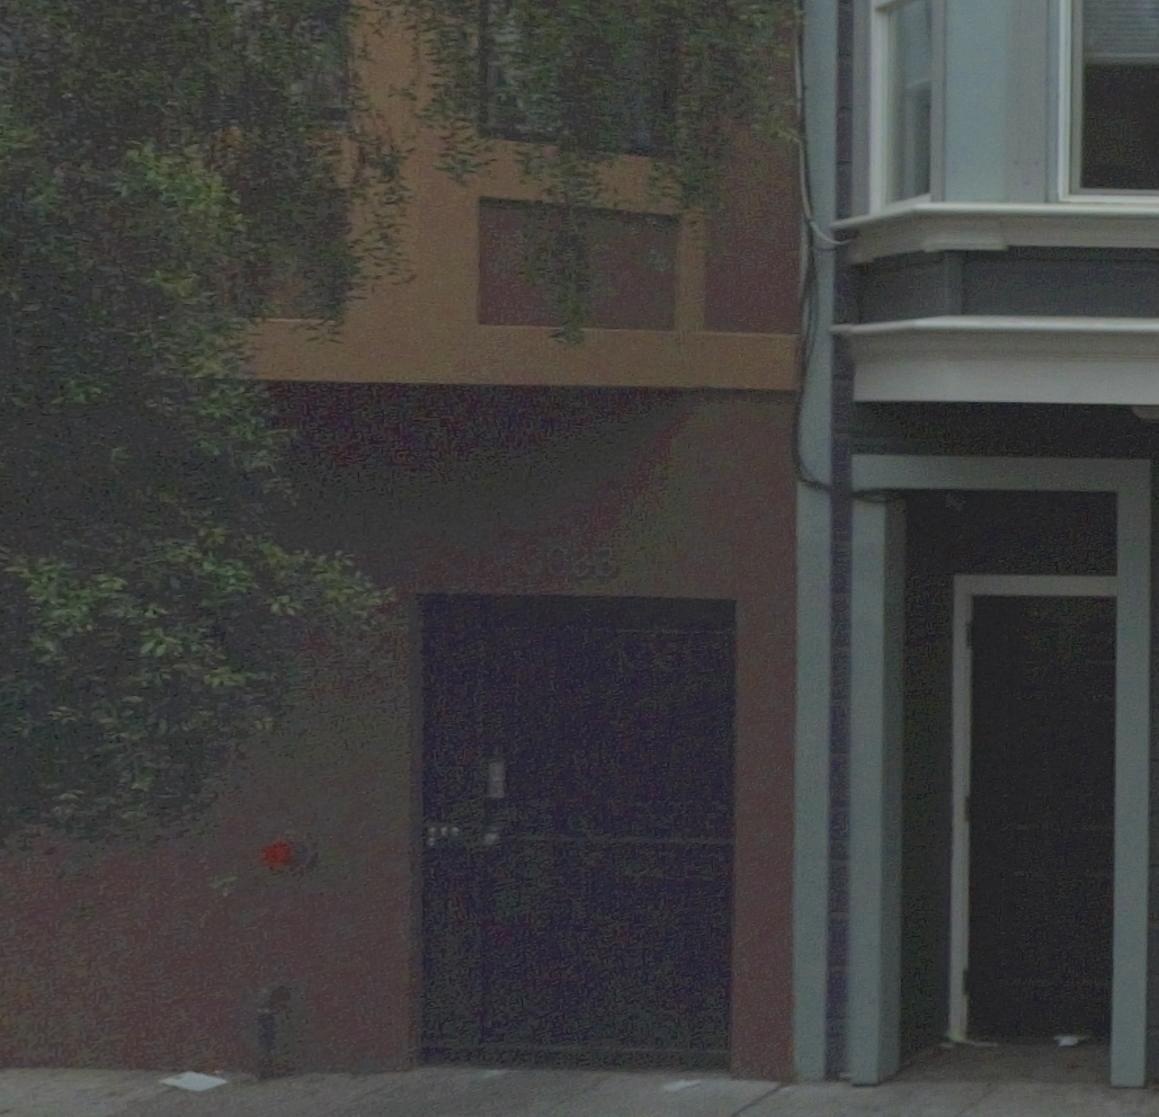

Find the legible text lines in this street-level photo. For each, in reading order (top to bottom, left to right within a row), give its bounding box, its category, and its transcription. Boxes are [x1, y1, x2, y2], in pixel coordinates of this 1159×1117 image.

[520, 541, 620, 581] StreetNumber: 3033